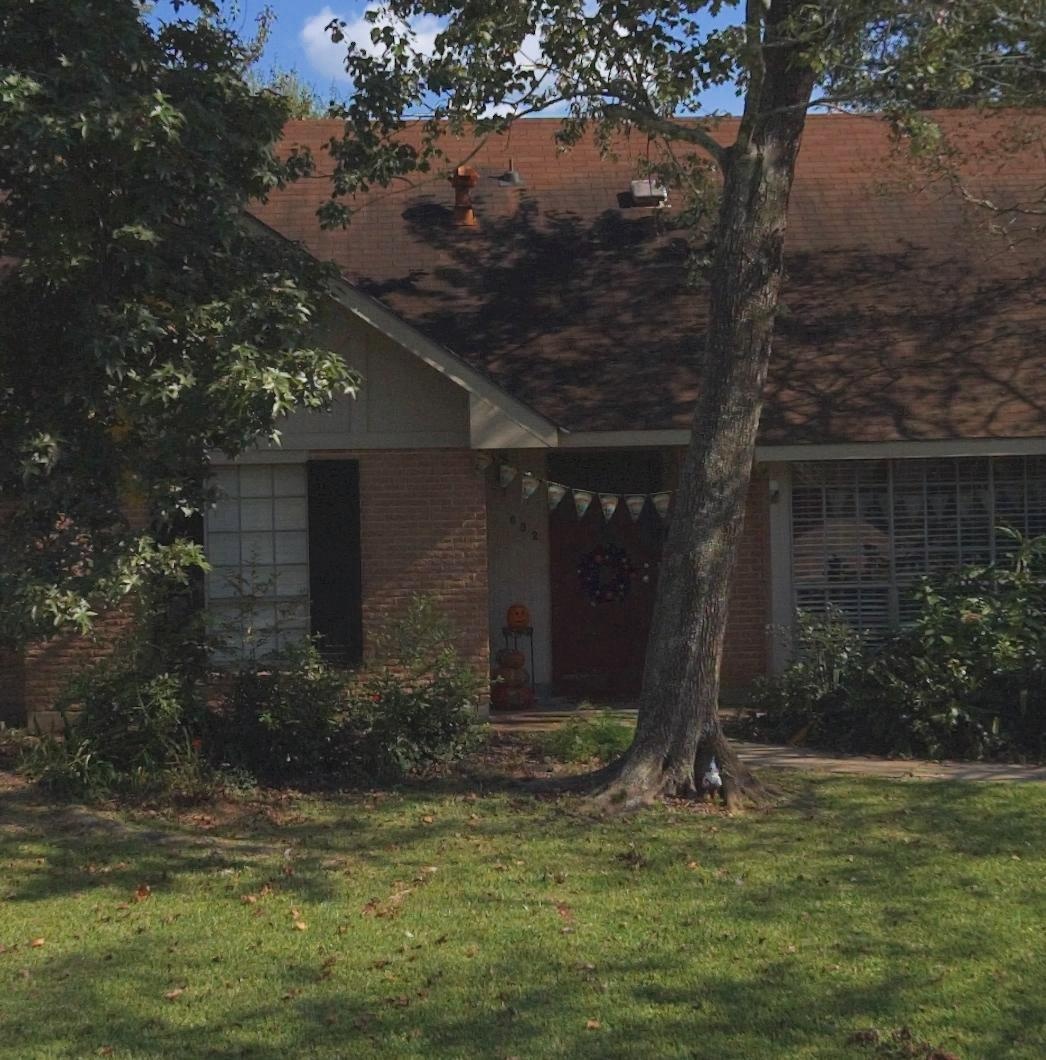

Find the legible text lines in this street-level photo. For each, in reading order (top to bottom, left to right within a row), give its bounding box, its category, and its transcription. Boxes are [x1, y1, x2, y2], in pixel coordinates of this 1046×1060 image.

[509, 514, 539, 543] StreetNumber: 632